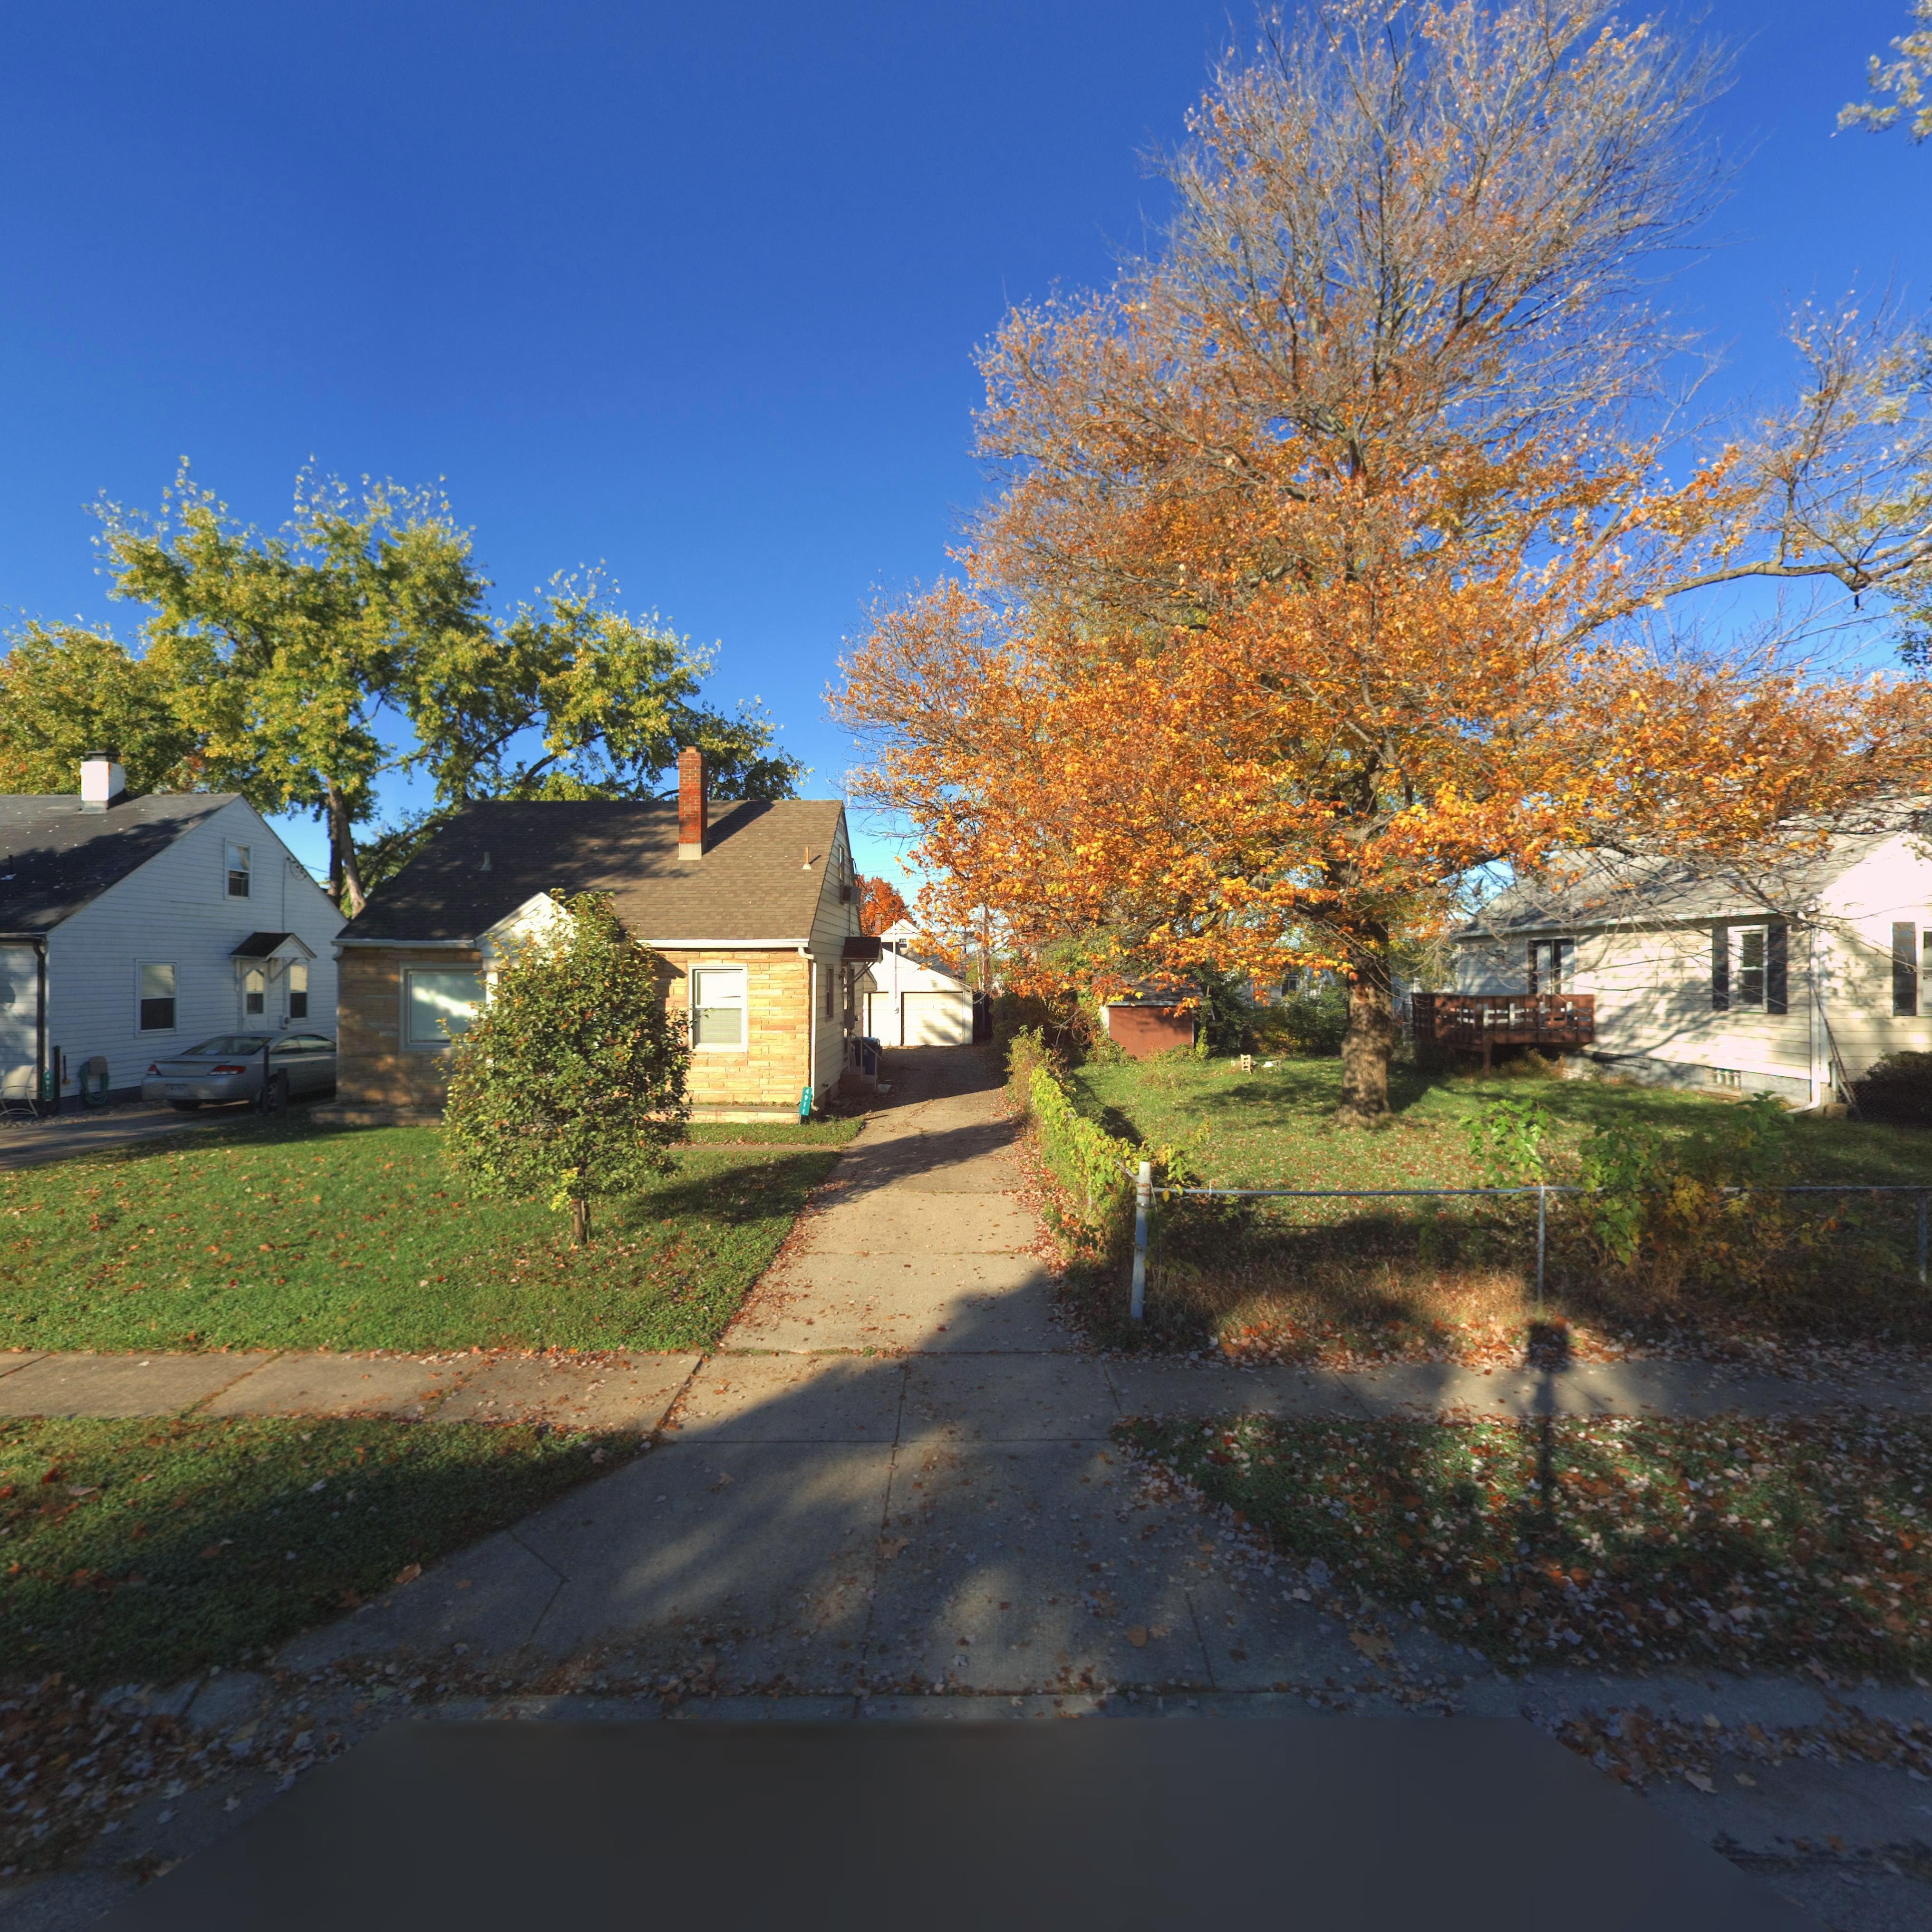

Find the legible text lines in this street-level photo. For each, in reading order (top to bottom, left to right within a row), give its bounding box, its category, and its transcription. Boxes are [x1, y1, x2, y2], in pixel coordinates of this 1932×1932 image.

[802, 1087, 810, 1115] StreetNumber: 4911